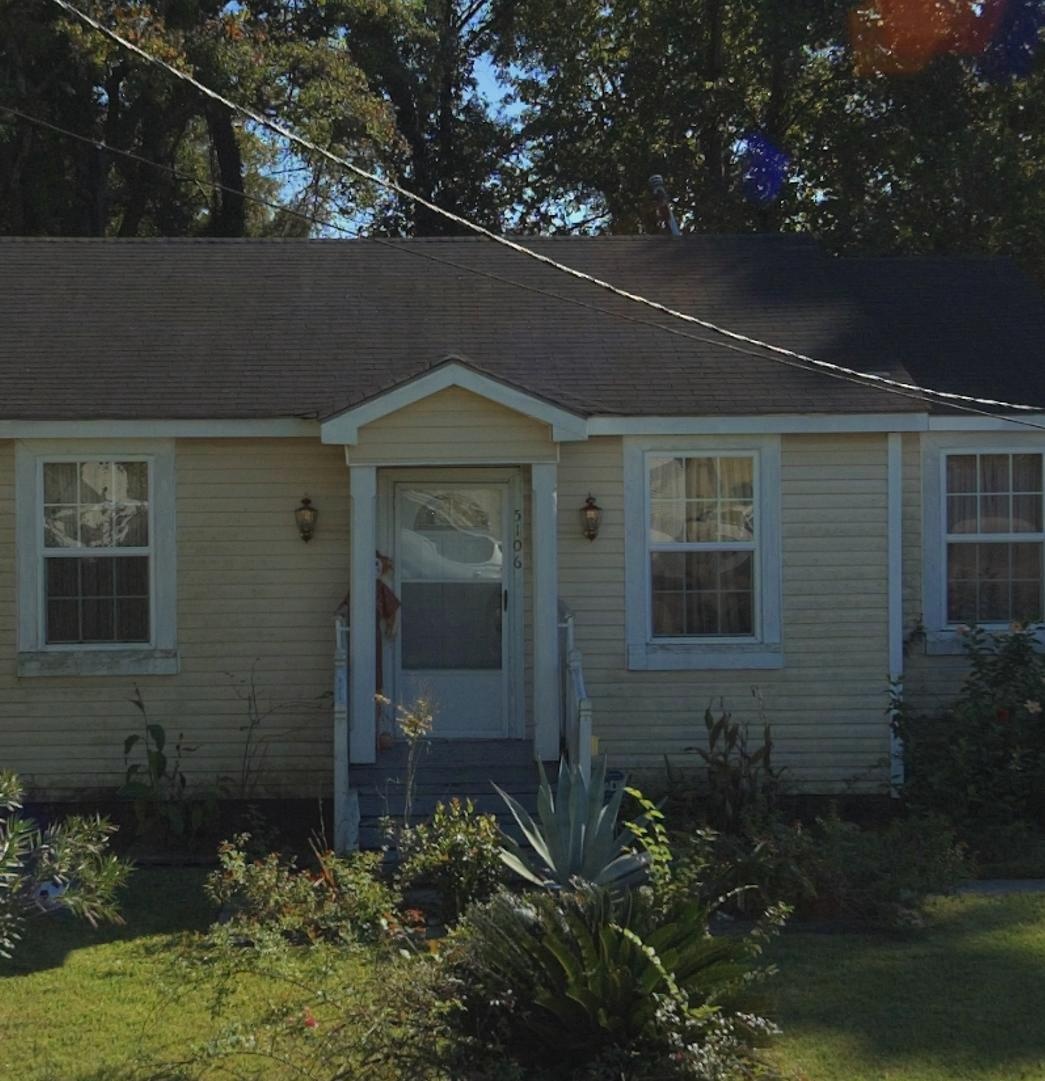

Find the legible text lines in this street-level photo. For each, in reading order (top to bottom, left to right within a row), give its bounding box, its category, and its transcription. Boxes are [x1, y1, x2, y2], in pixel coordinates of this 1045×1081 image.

[512, 508, 524, 570] StreetNumber: 5106